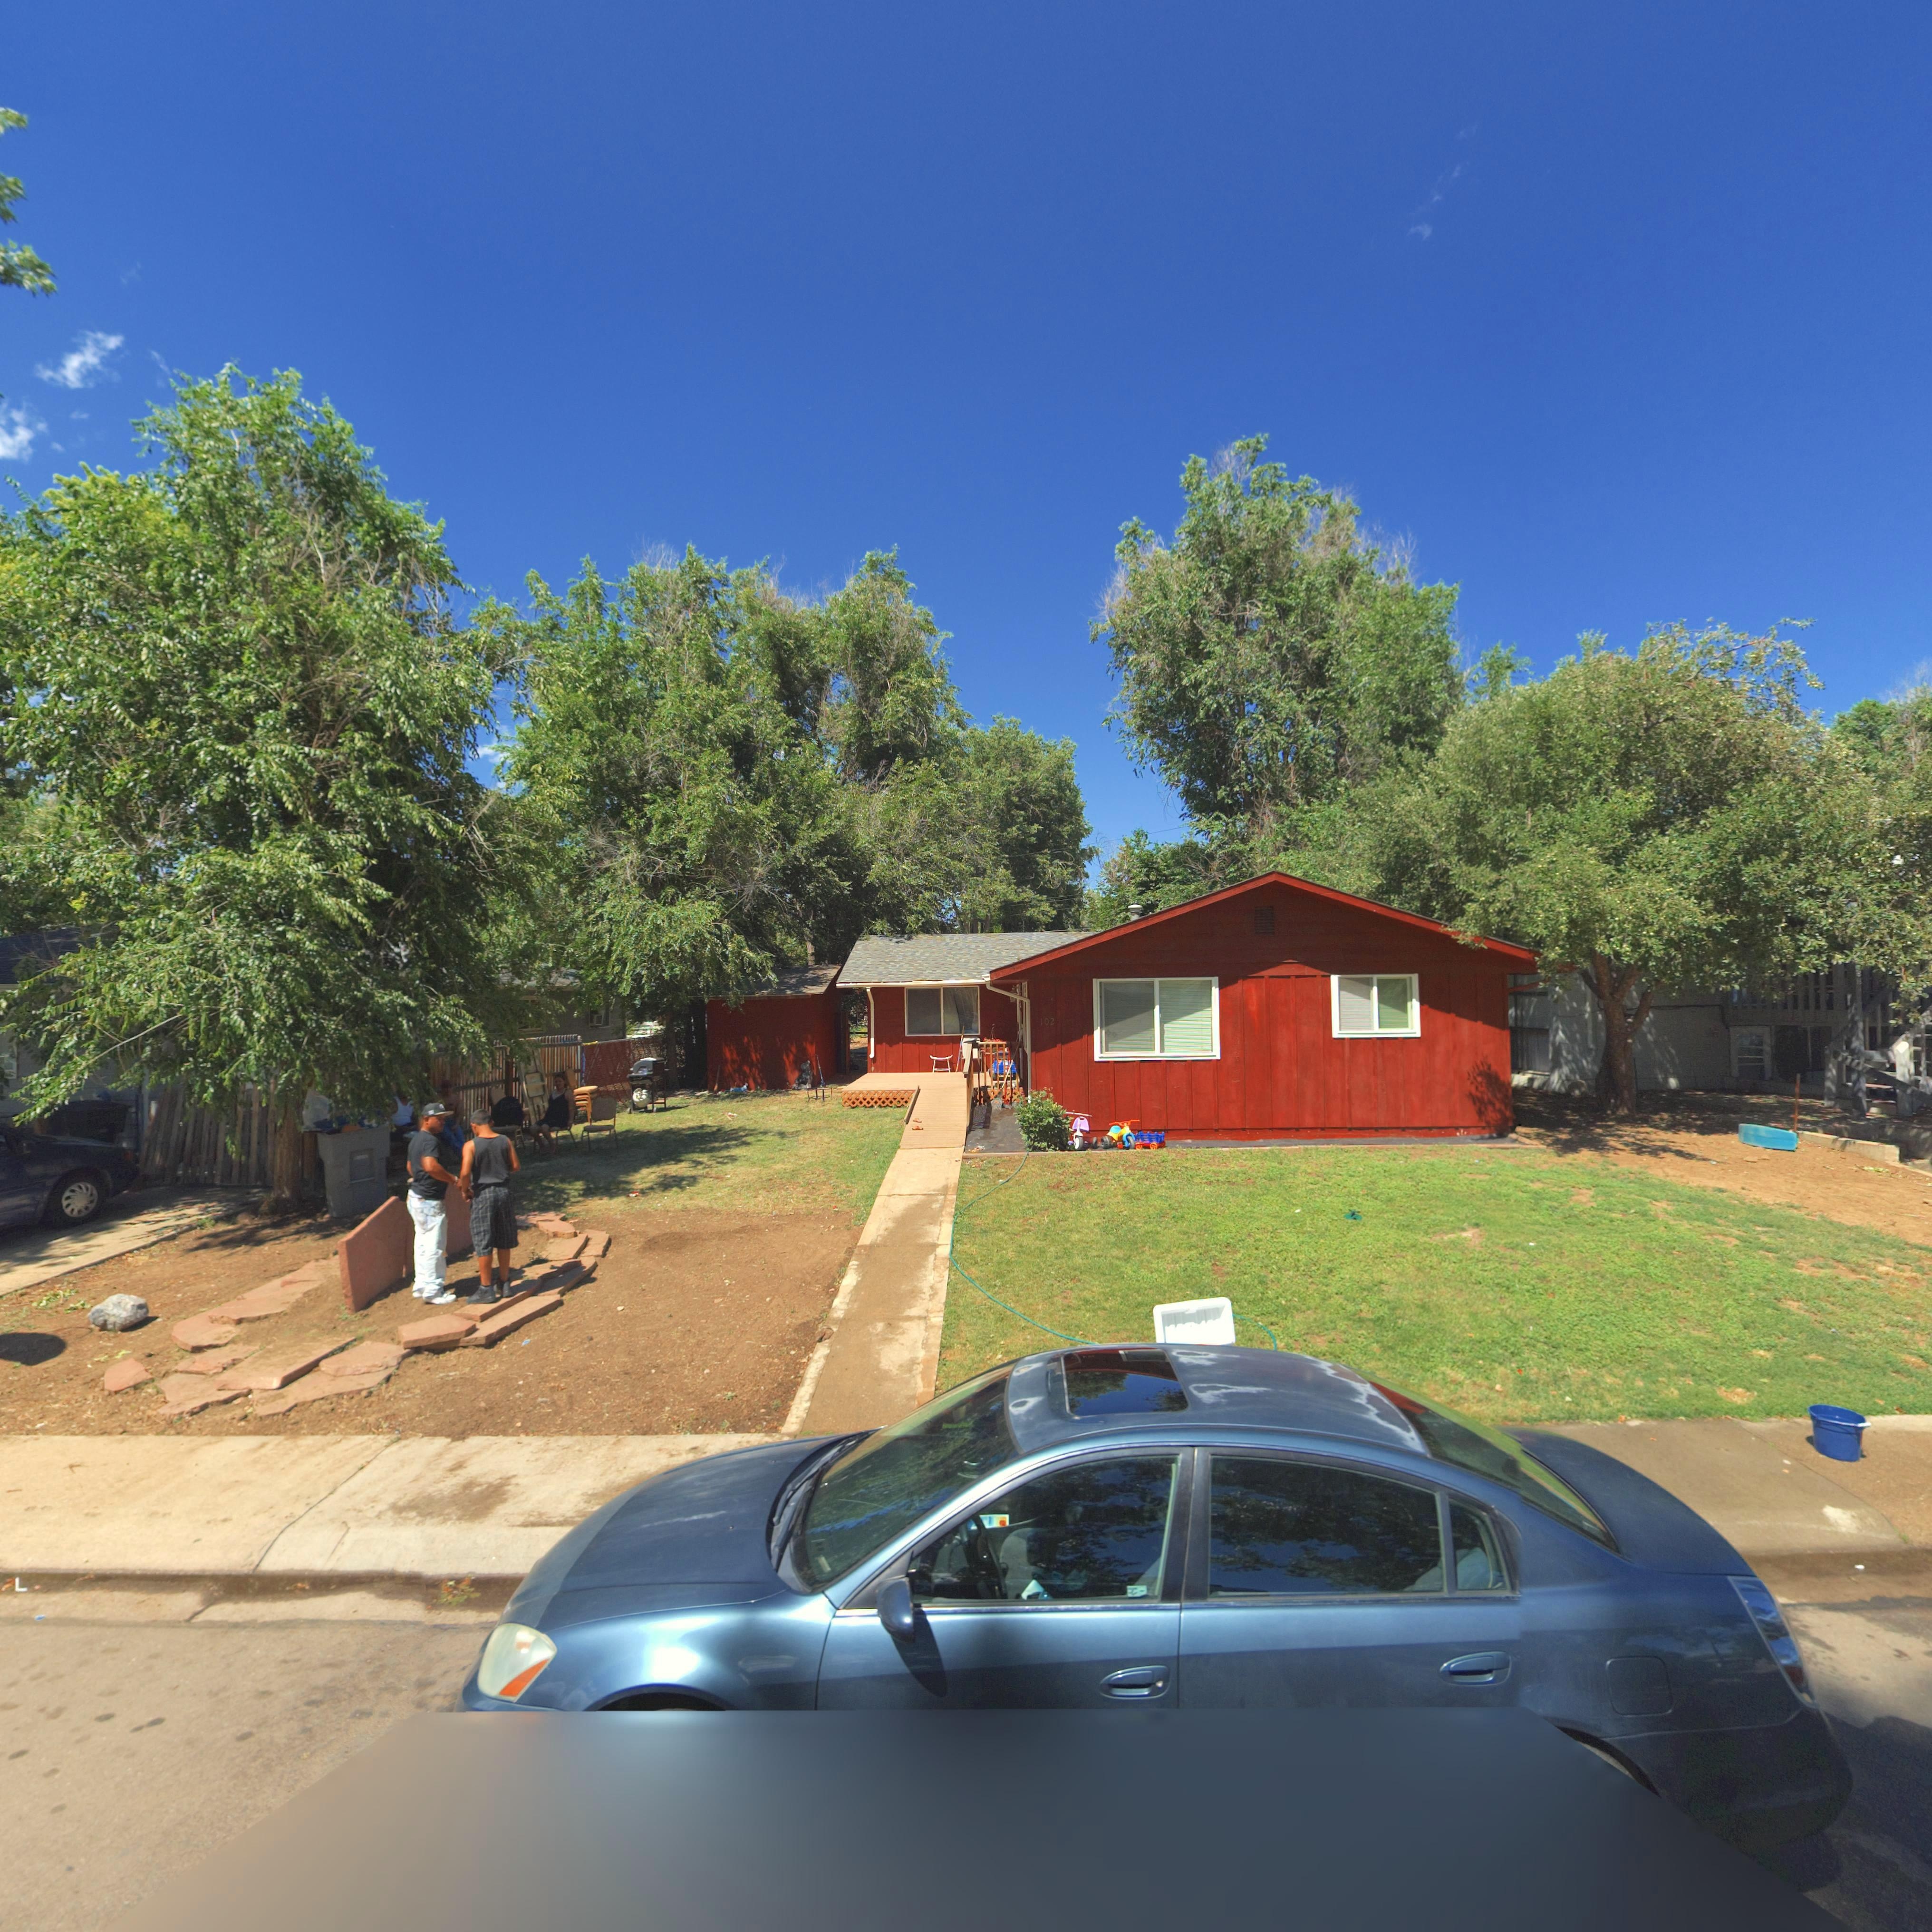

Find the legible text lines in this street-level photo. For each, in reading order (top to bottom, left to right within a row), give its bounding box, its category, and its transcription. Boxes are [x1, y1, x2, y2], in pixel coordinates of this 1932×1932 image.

[1040, 1017, 1054, 1026] StreetNumber: 102